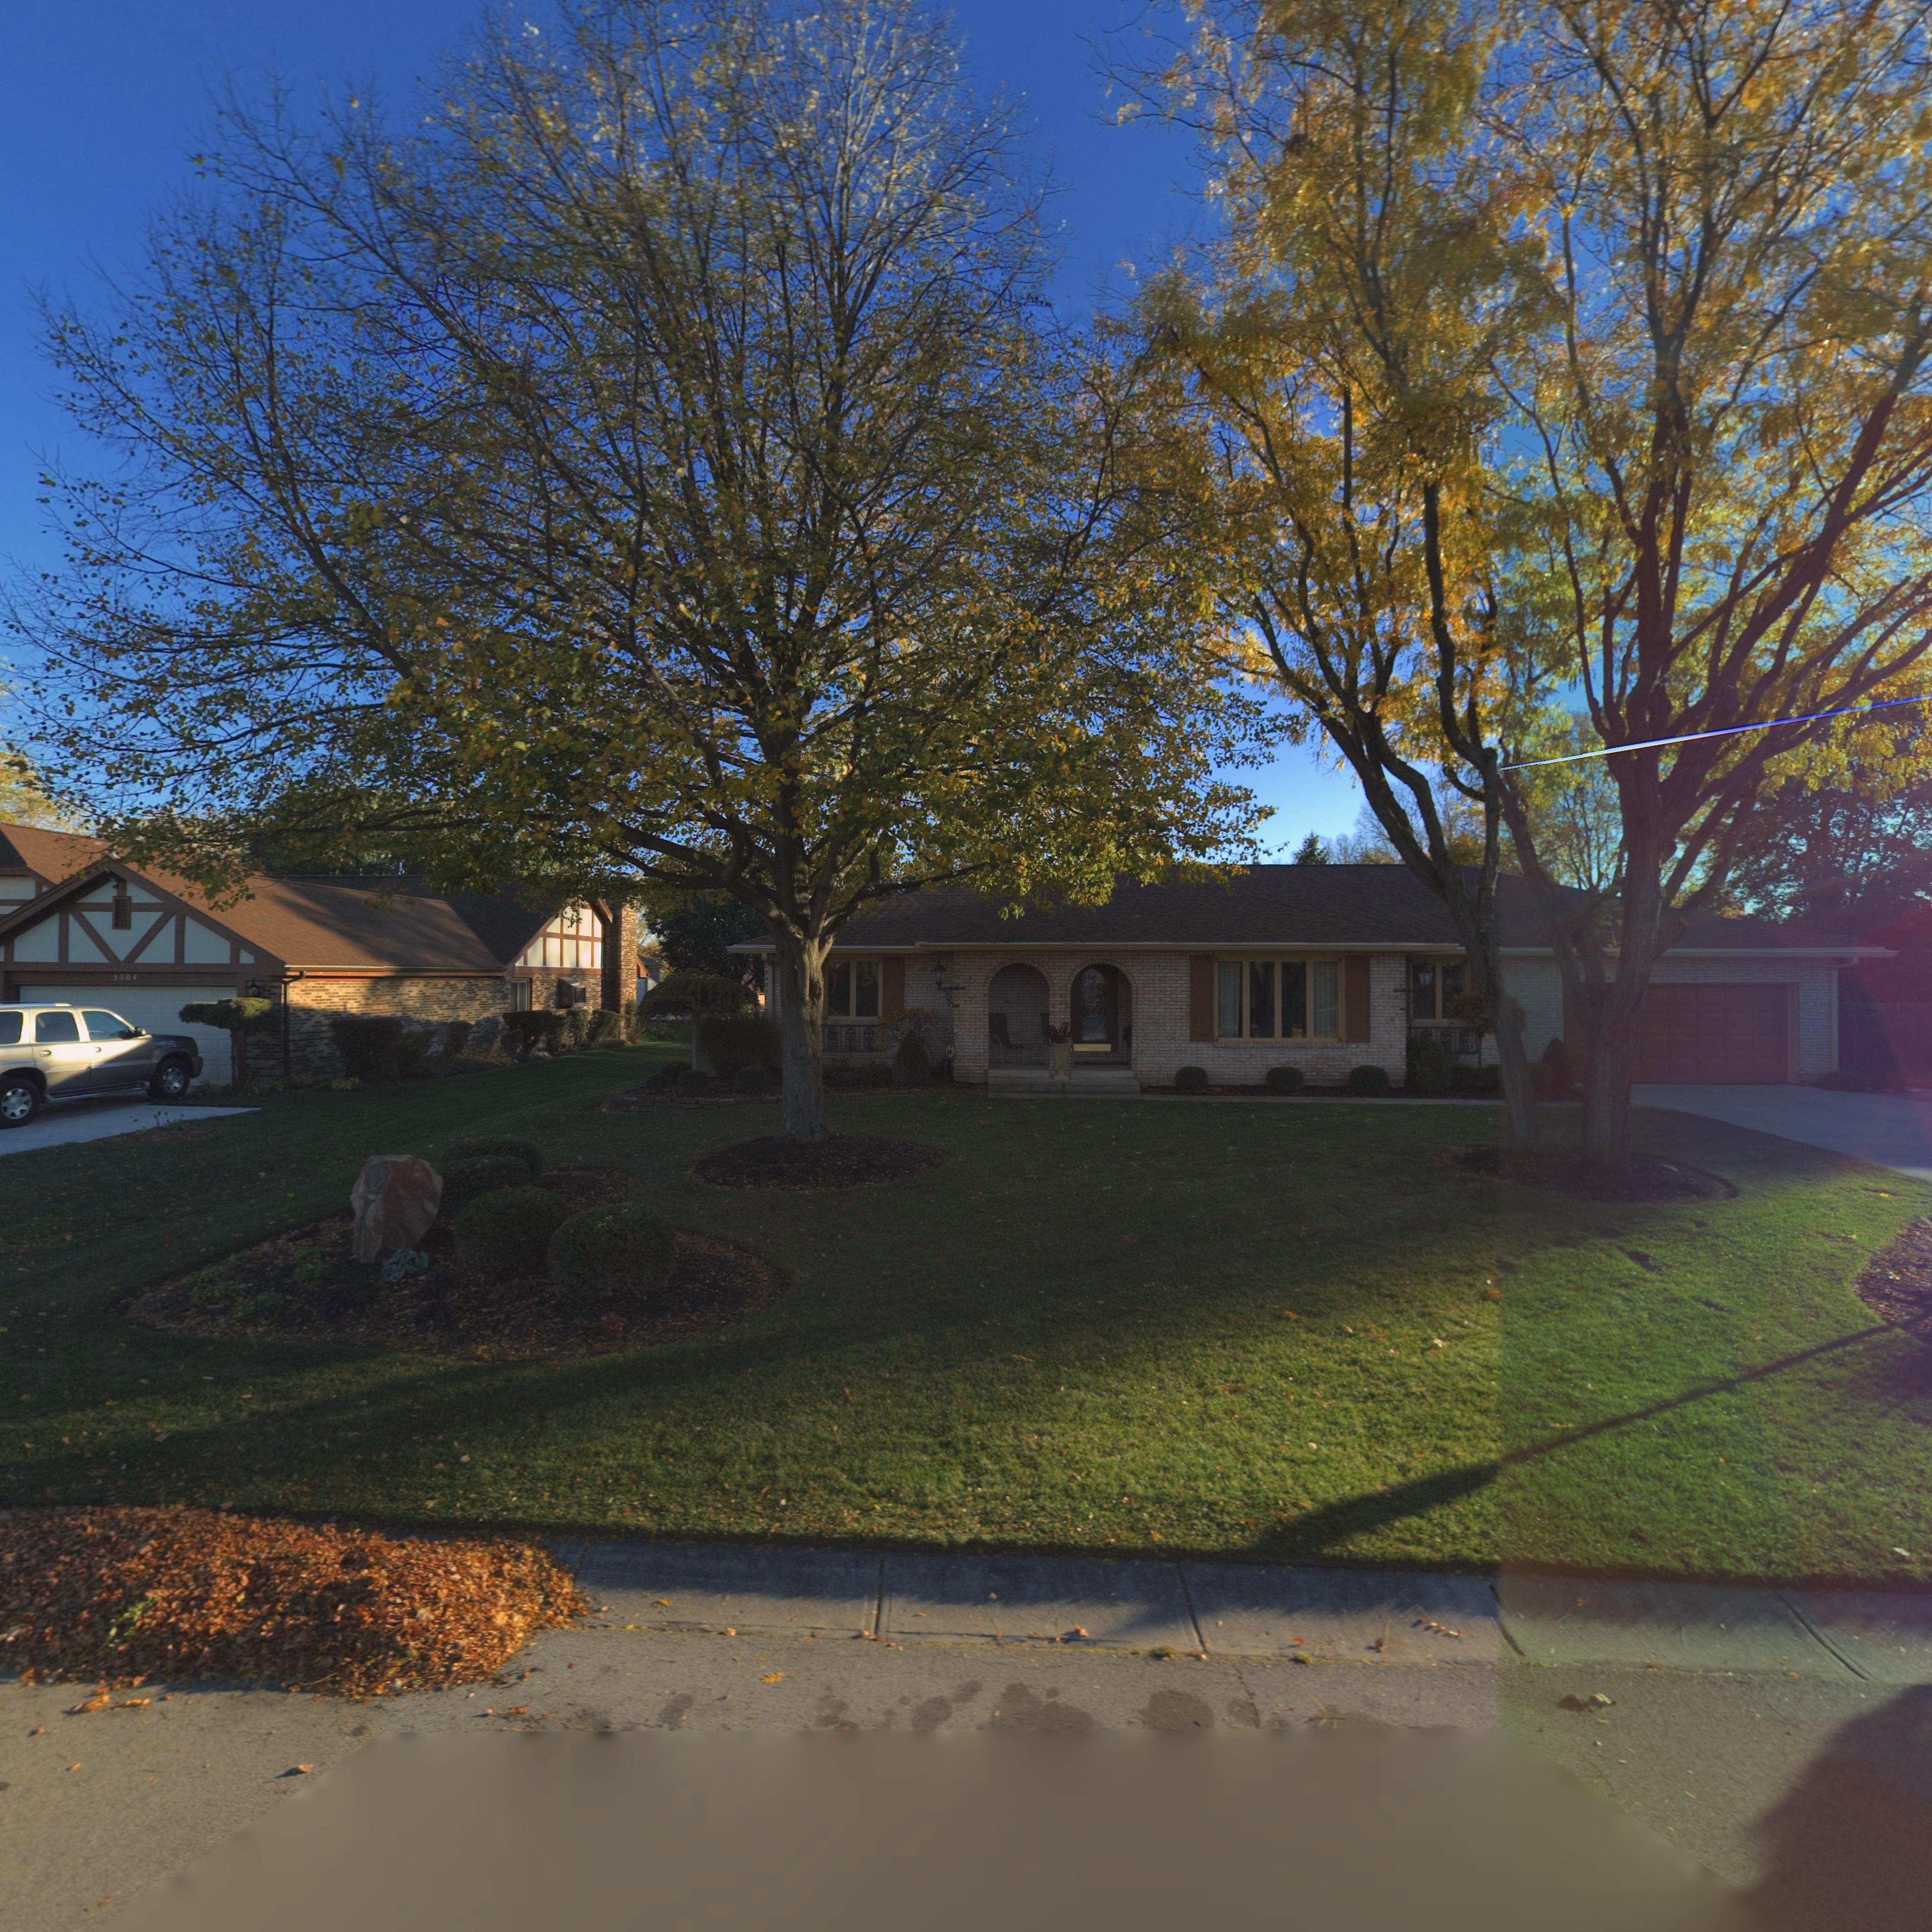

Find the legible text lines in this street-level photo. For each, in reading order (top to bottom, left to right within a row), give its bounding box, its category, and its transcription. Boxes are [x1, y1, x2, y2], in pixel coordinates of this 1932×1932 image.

[111, 972, 138, 982] StreetNumber: 5504